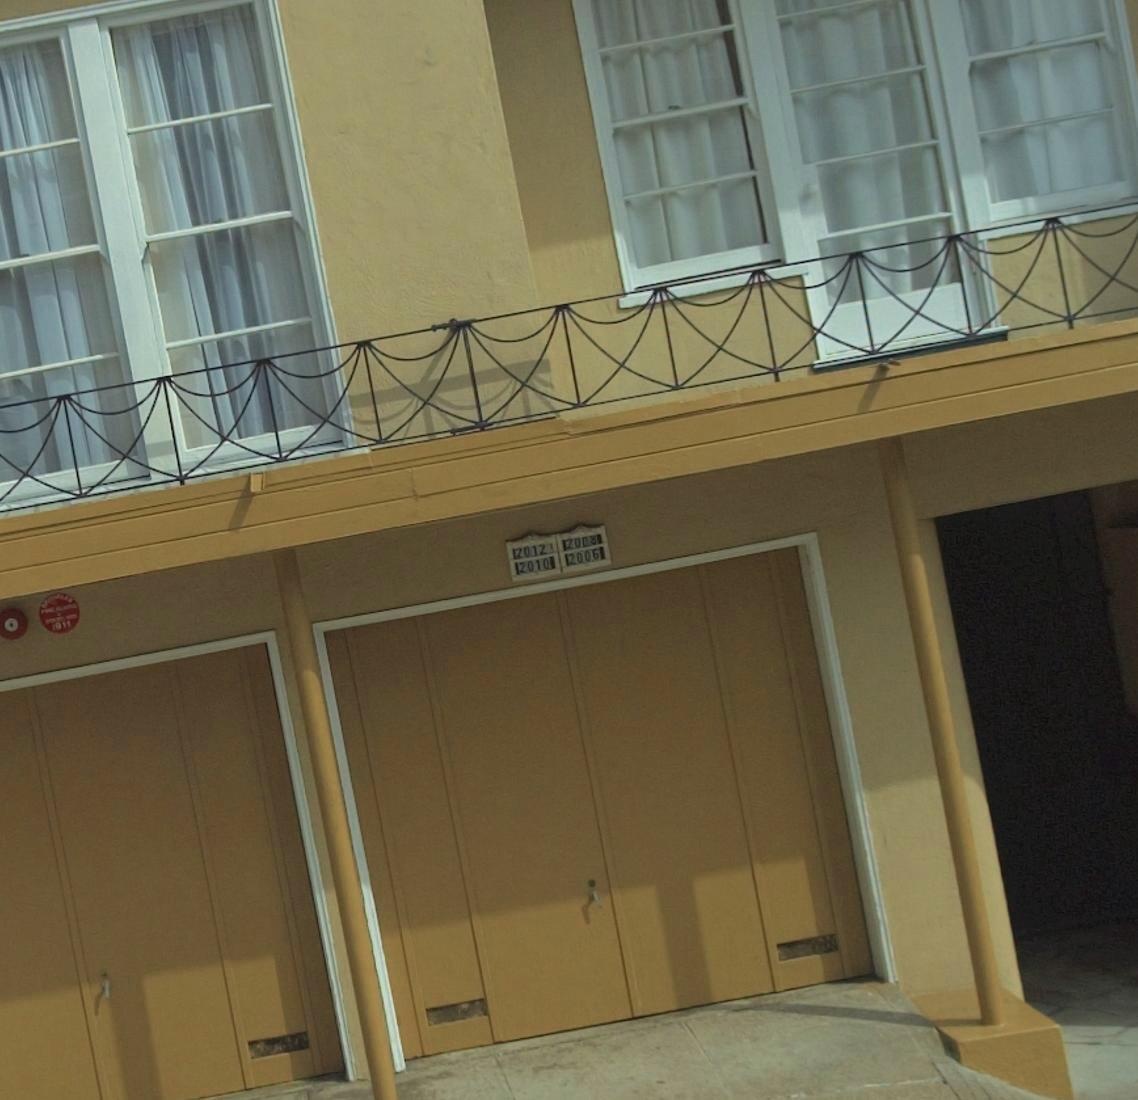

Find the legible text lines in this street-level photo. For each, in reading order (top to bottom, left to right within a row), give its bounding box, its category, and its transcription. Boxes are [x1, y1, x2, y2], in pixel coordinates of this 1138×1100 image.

[514, 541, 548, 562] StreetNumber: 2012
[515, 555, 552, 576] StreetNumber: 2010
[562, 532, 601, 552] StreetNumber: 2008
[565, 546, 602, 568] StreetNumber: 2006
[52, 617, 73, 633] None: 911